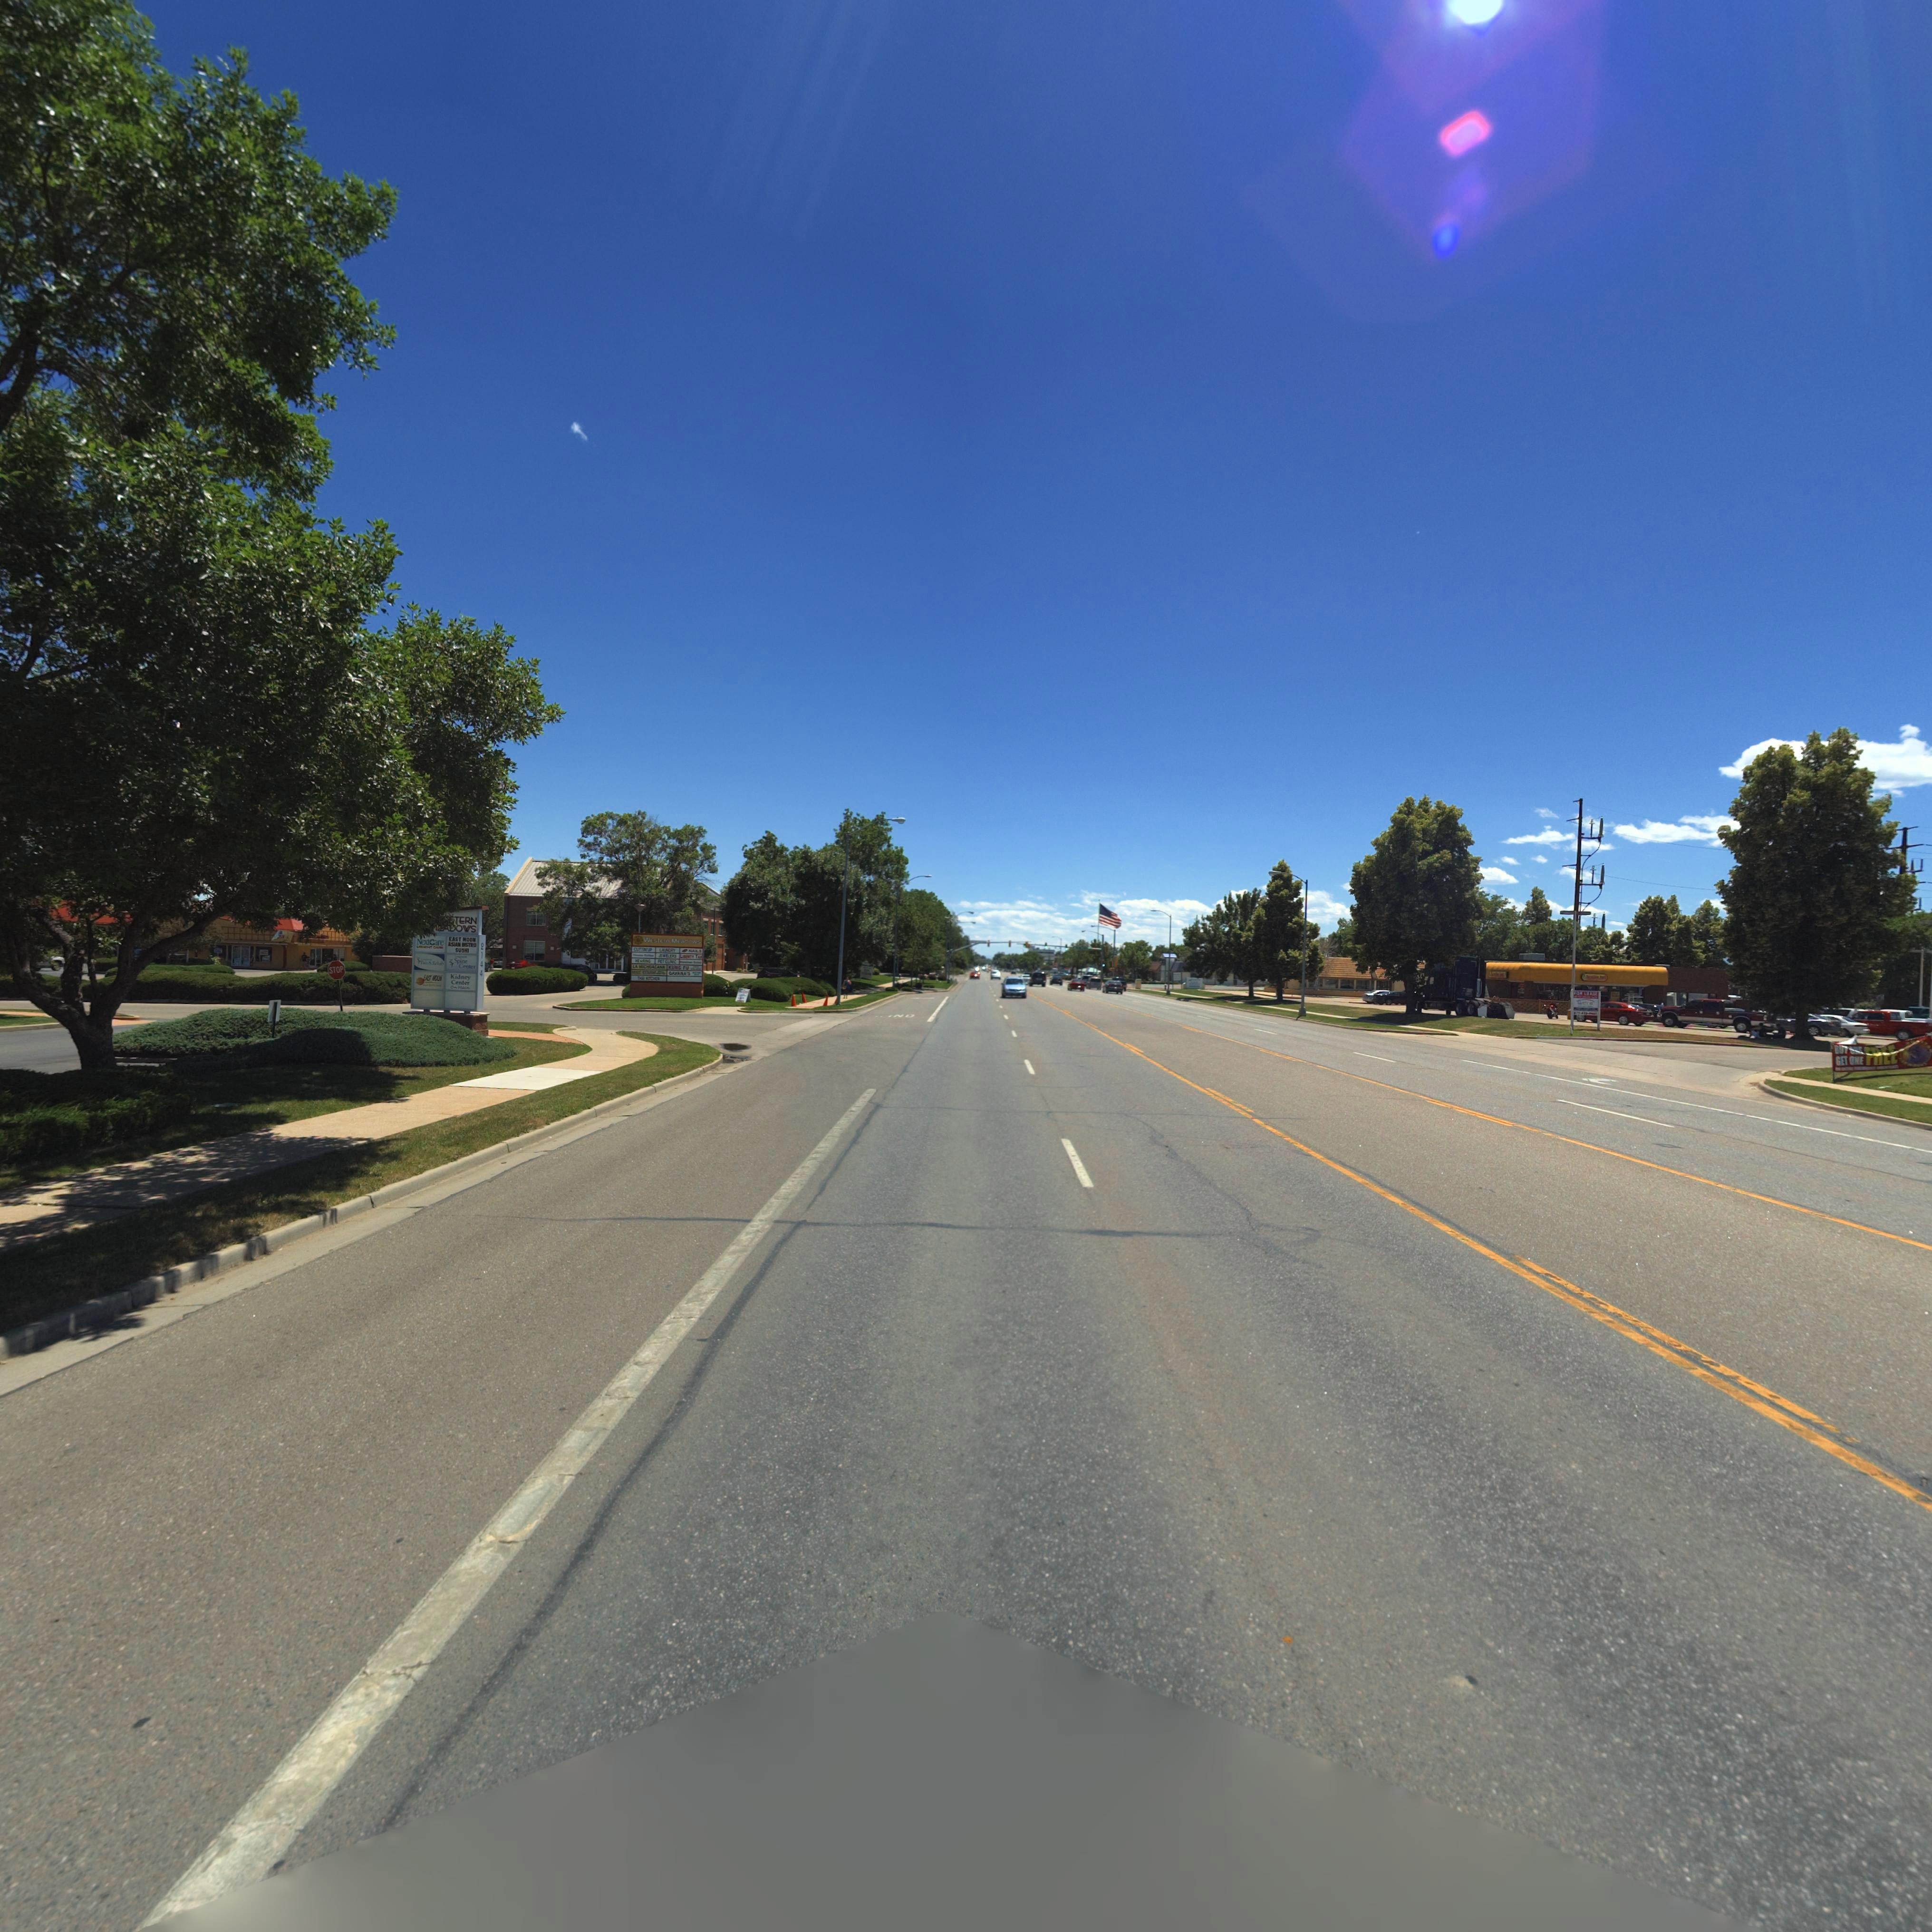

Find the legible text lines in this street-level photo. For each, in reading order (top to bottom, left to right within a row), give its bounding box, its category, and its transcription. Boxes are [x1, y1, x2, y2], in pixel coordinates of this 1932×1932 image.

[416, 945, 444, 949] BusinessName: UR**NT C***
[416, 938, 444, 946] BusinessName: Next Care
[454, 947, 469, 953] BusinessName: SUSHI
[448, 936, 476, 942] BusinessName: EAST MOON
[447, 941, 477, 947] BusinessName: AS*AN B*STRO
[633, 947, 652, 952] BusinessName: C*TT*N UP
[432, 960, 444, 965] BusinessName: ****b
[453, 957, 468, 965] BusinessName: Spine
[458, 963, 476, 969] BusinessName: Ce*ter
[479, 942, 484, 977] StreetNumber: 2144
[632, 964, 666, 969] BusinessName: LA M*******ANA
[680, 954, 703, 959] BusinessName: L****TY TAX
[668, 971, 691, 976] BusinessName: *A*A*A'S
[422, 974, 443, 981] BusinessName: EAST *OO*
[450, 973, 472, 981] BusinessName: Kidney
[450, 979, 470, 985] BusinessName: Center